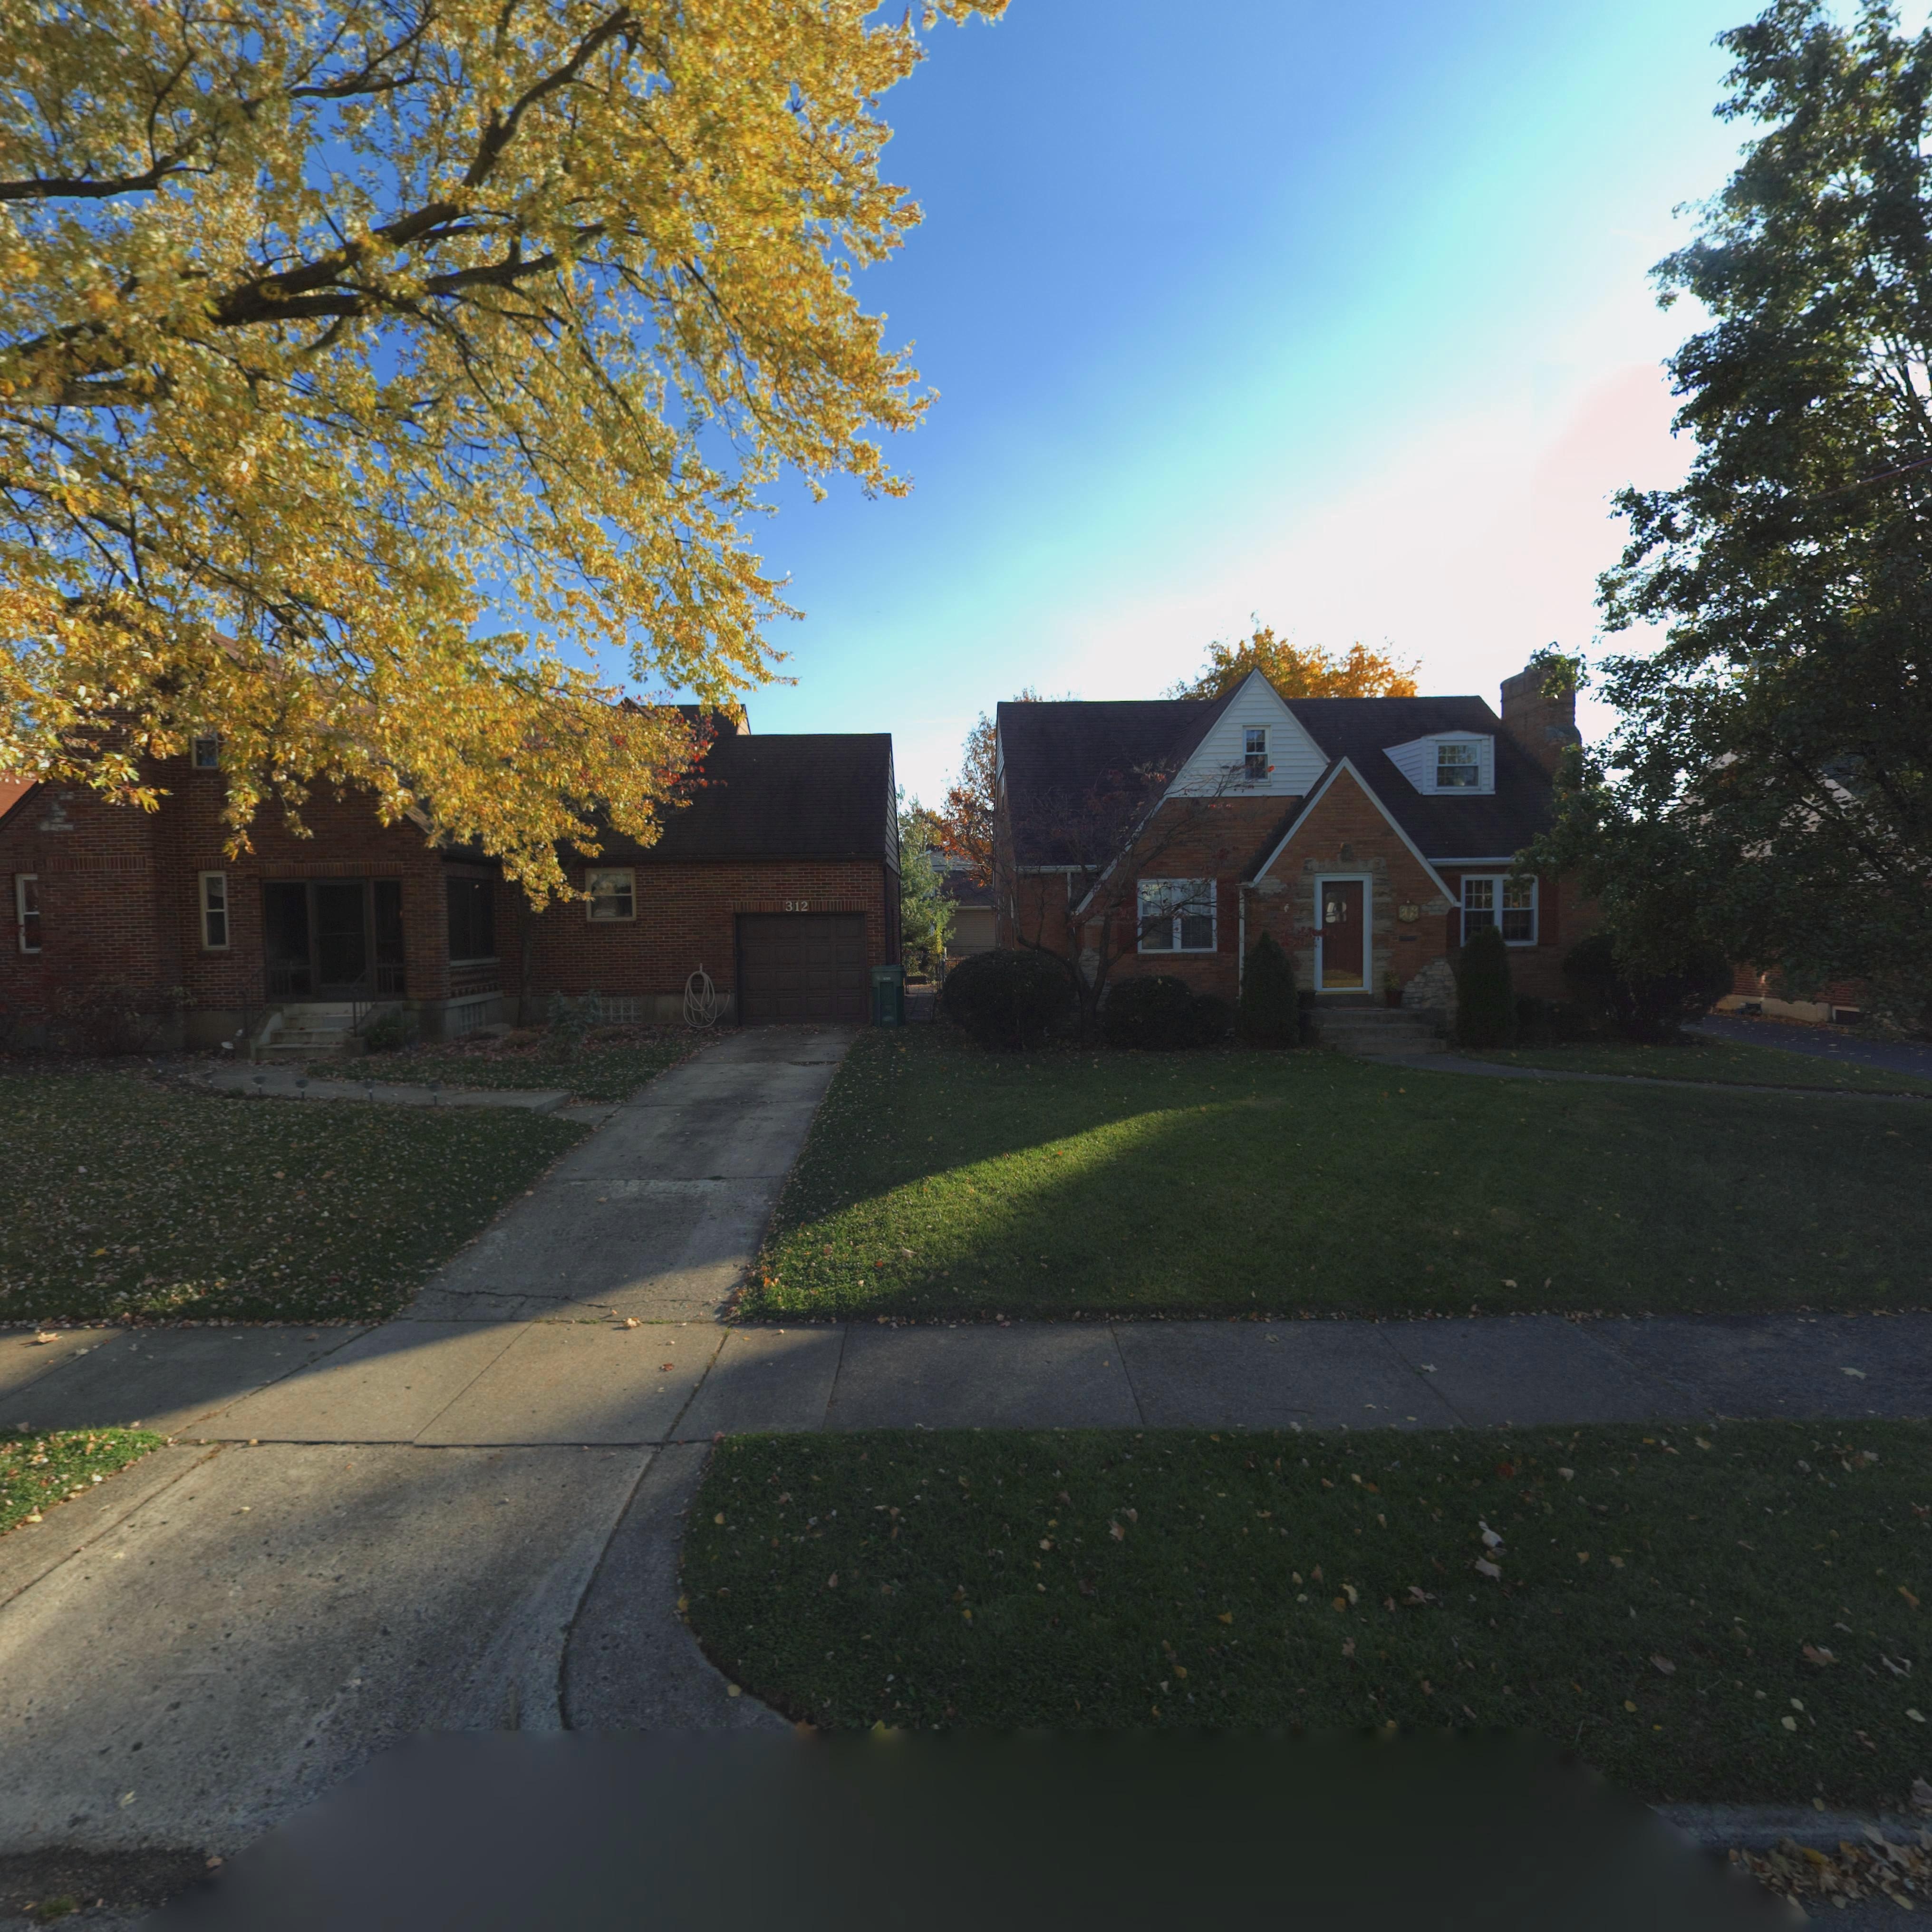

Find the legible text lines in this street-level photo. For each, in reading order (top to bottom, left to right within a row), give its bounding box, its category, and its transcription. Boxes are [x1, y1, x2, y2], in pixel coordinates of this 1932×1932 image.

[785, 901, 809, 912] StreetNumber: 312
[1400, 906, 1419, 921] StreetNumber: 308